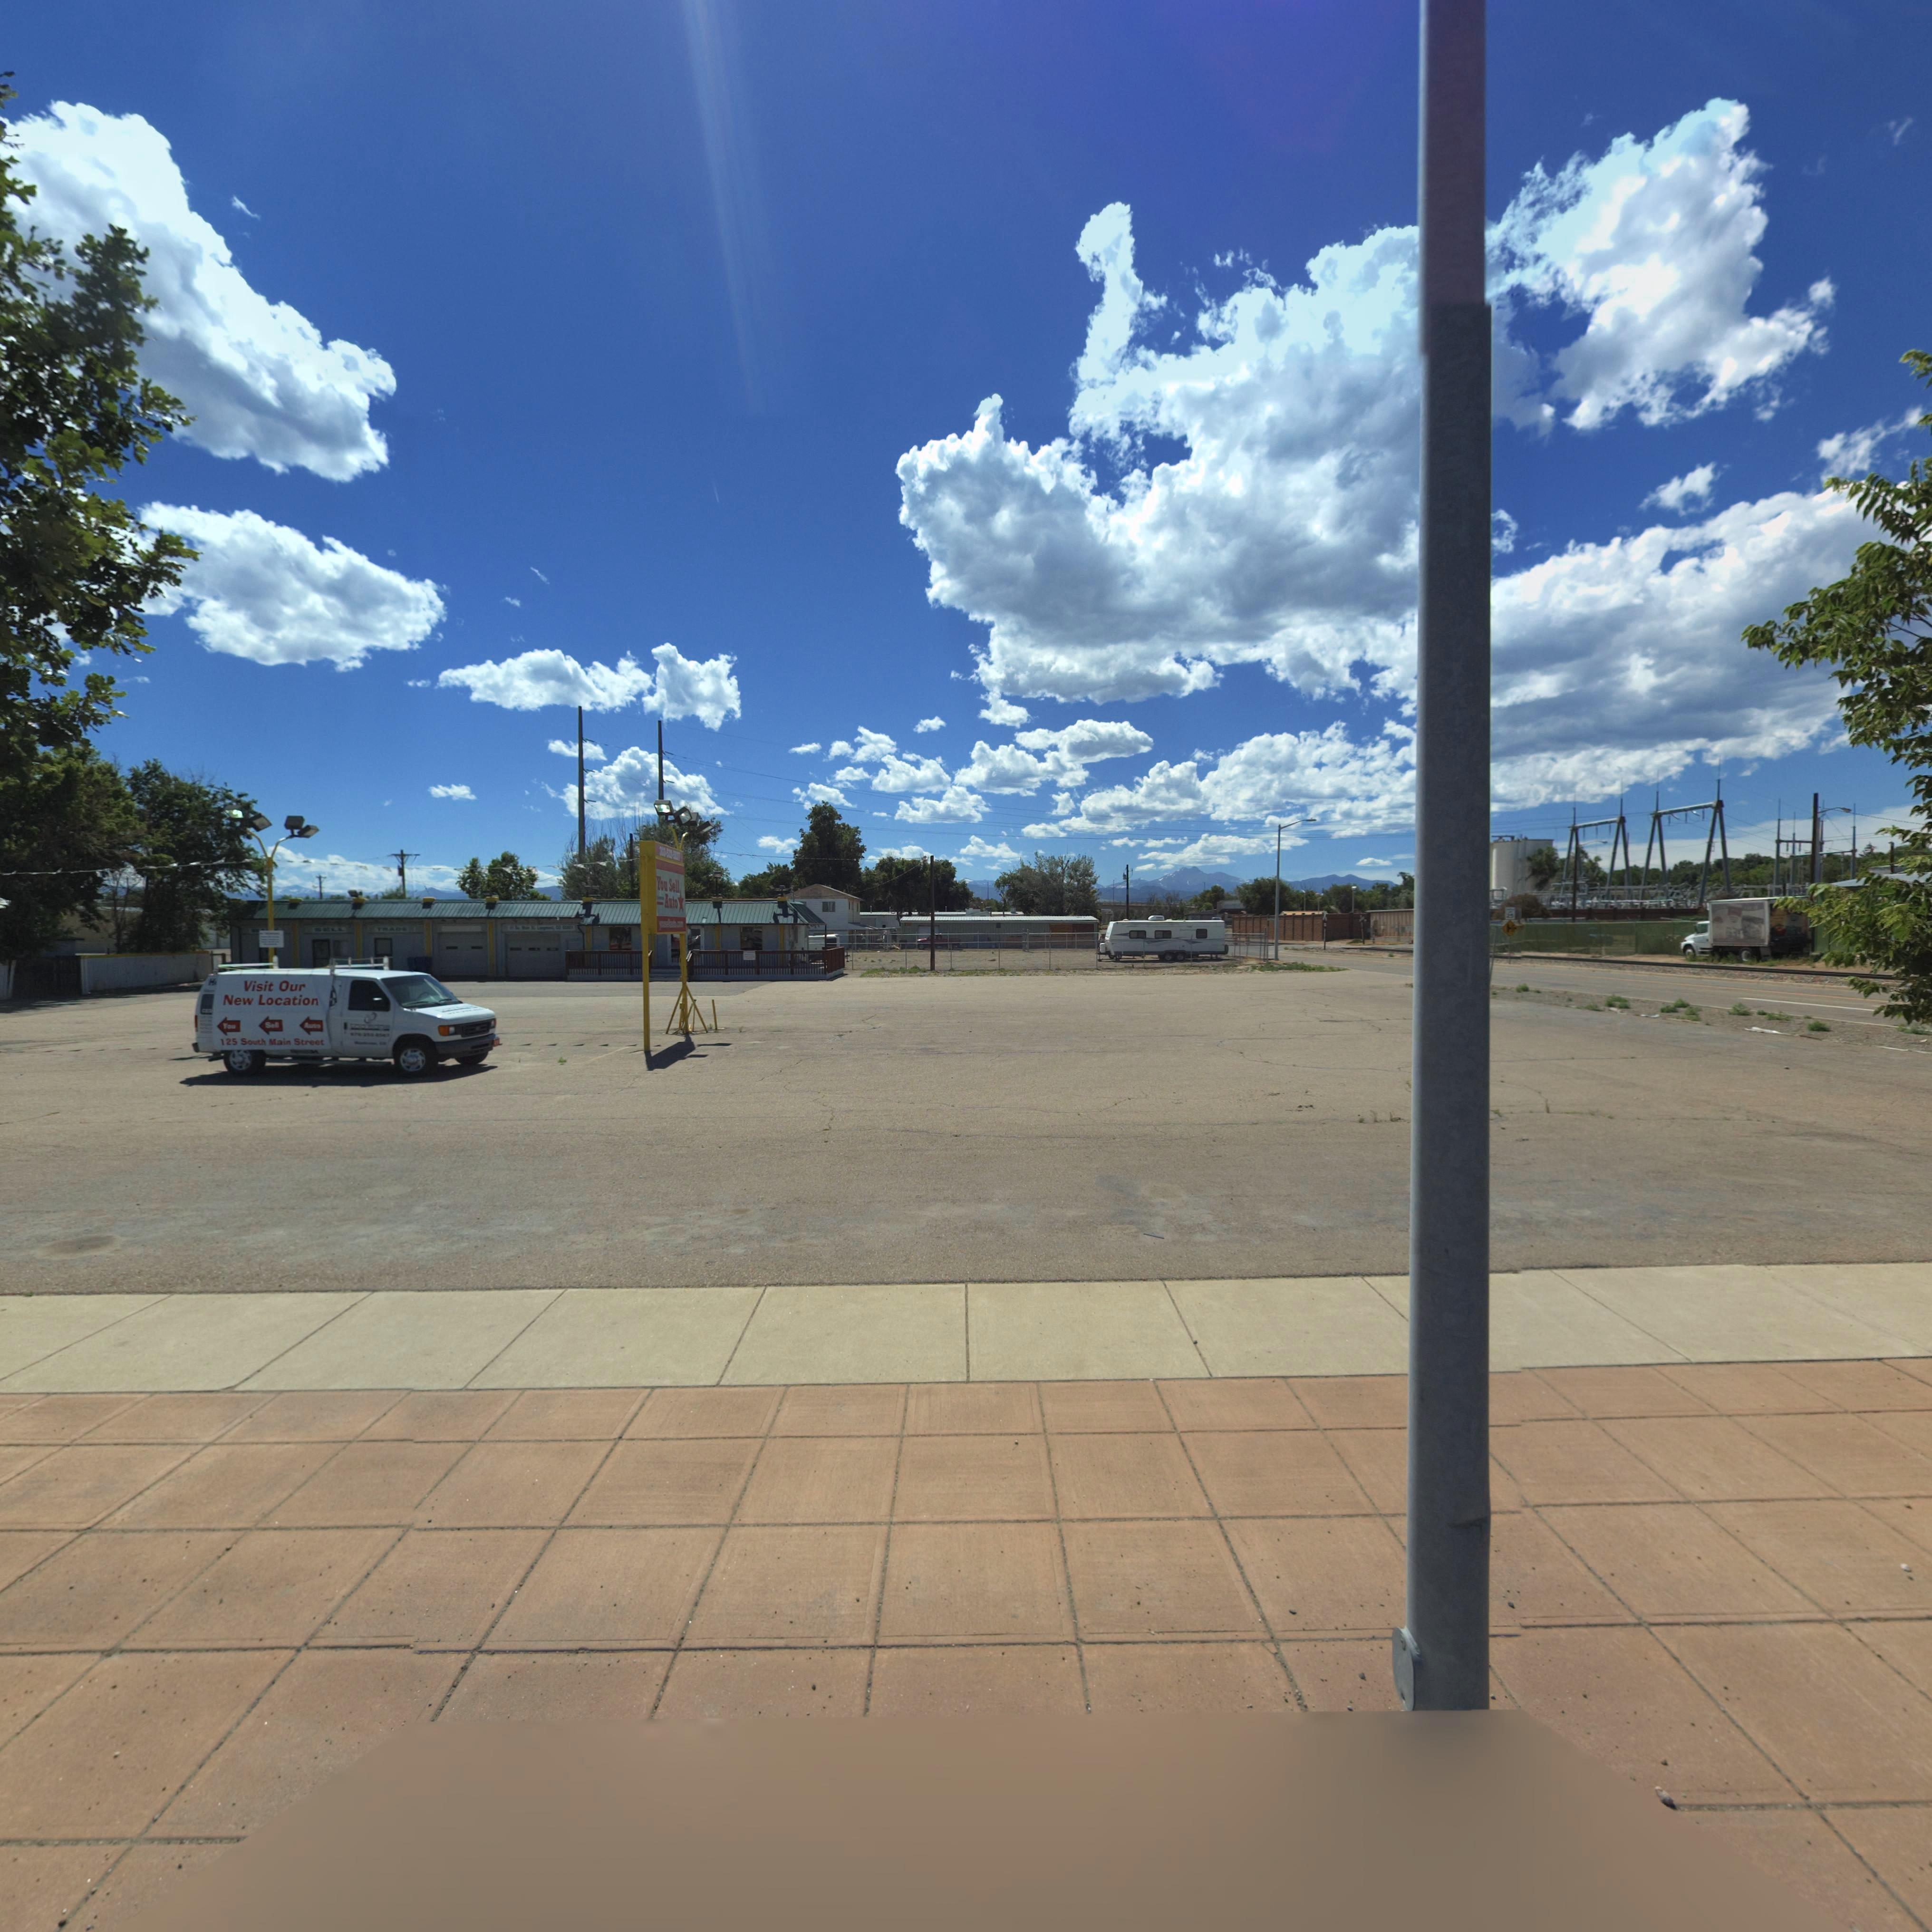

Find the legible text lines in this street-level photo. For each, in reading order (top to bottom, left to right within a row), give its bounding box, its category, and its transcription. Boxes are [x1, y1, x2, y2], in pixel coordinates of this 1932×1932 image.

[656, 875, 680, 893] BusinessName: You Sell
[664, 893, 678, 909] BusinessName: Auto
[219, 1037, 238, 1046] StreetNumber: 125
[240, 1037, 325, 1046] StreetName: South Main Street